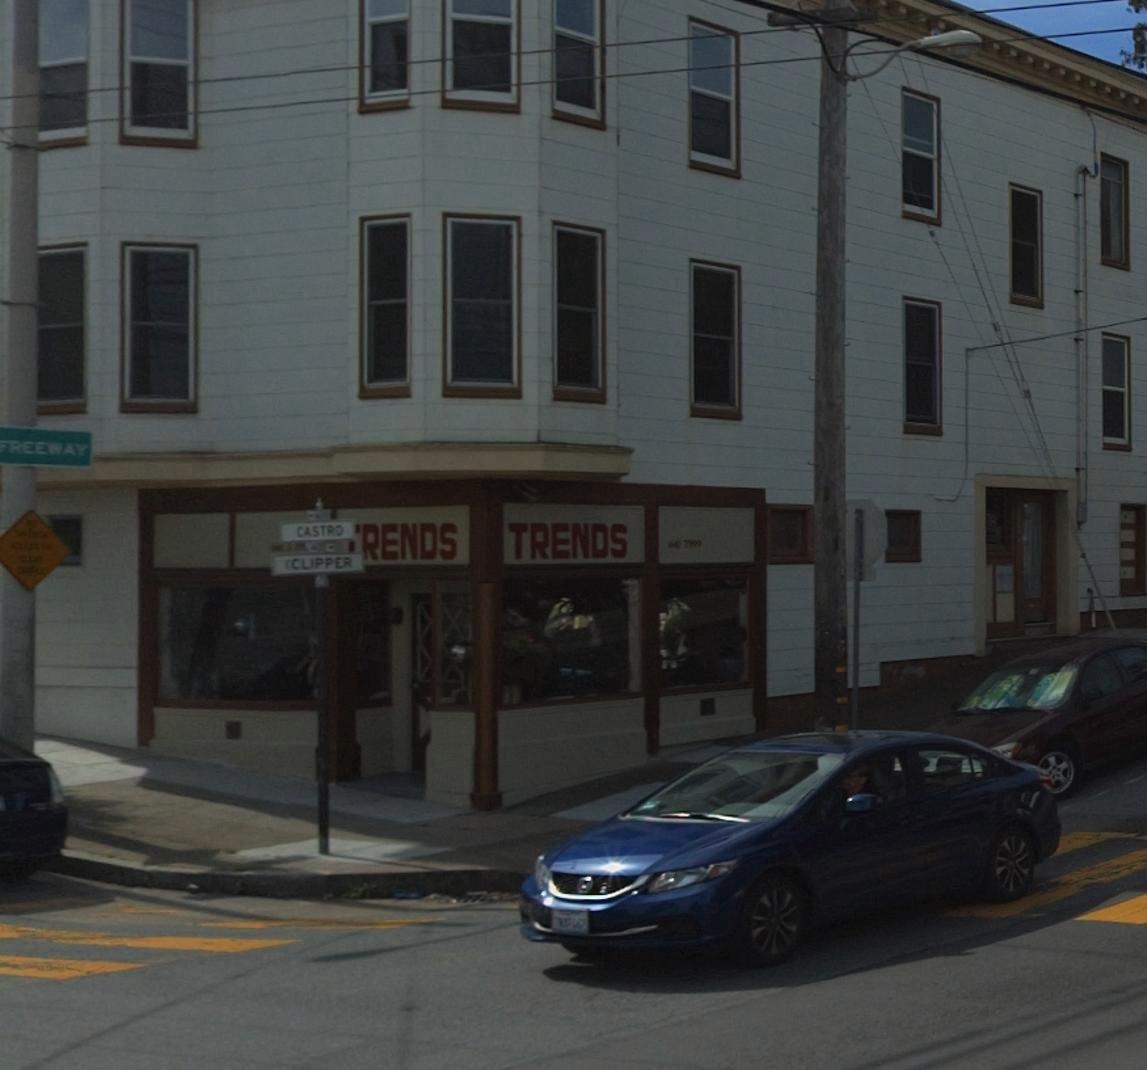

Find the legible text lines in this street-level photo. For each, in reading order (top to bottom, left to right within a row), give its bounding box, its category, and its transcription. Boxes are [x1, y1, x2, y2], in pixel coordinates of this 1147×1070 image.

[6, 439, 90, 458] None: REEWAY
[293, 524, 344, 538] StreetName: CASTRO
[361, 521, 459, 561] BusinessName: RENDS
[507, 521, 629, 560] BusinessName: TRENDS
[665, 537, 703, 550] None: 64*-*999
[290, 556, 355, 570] StreetName: CLIPPER